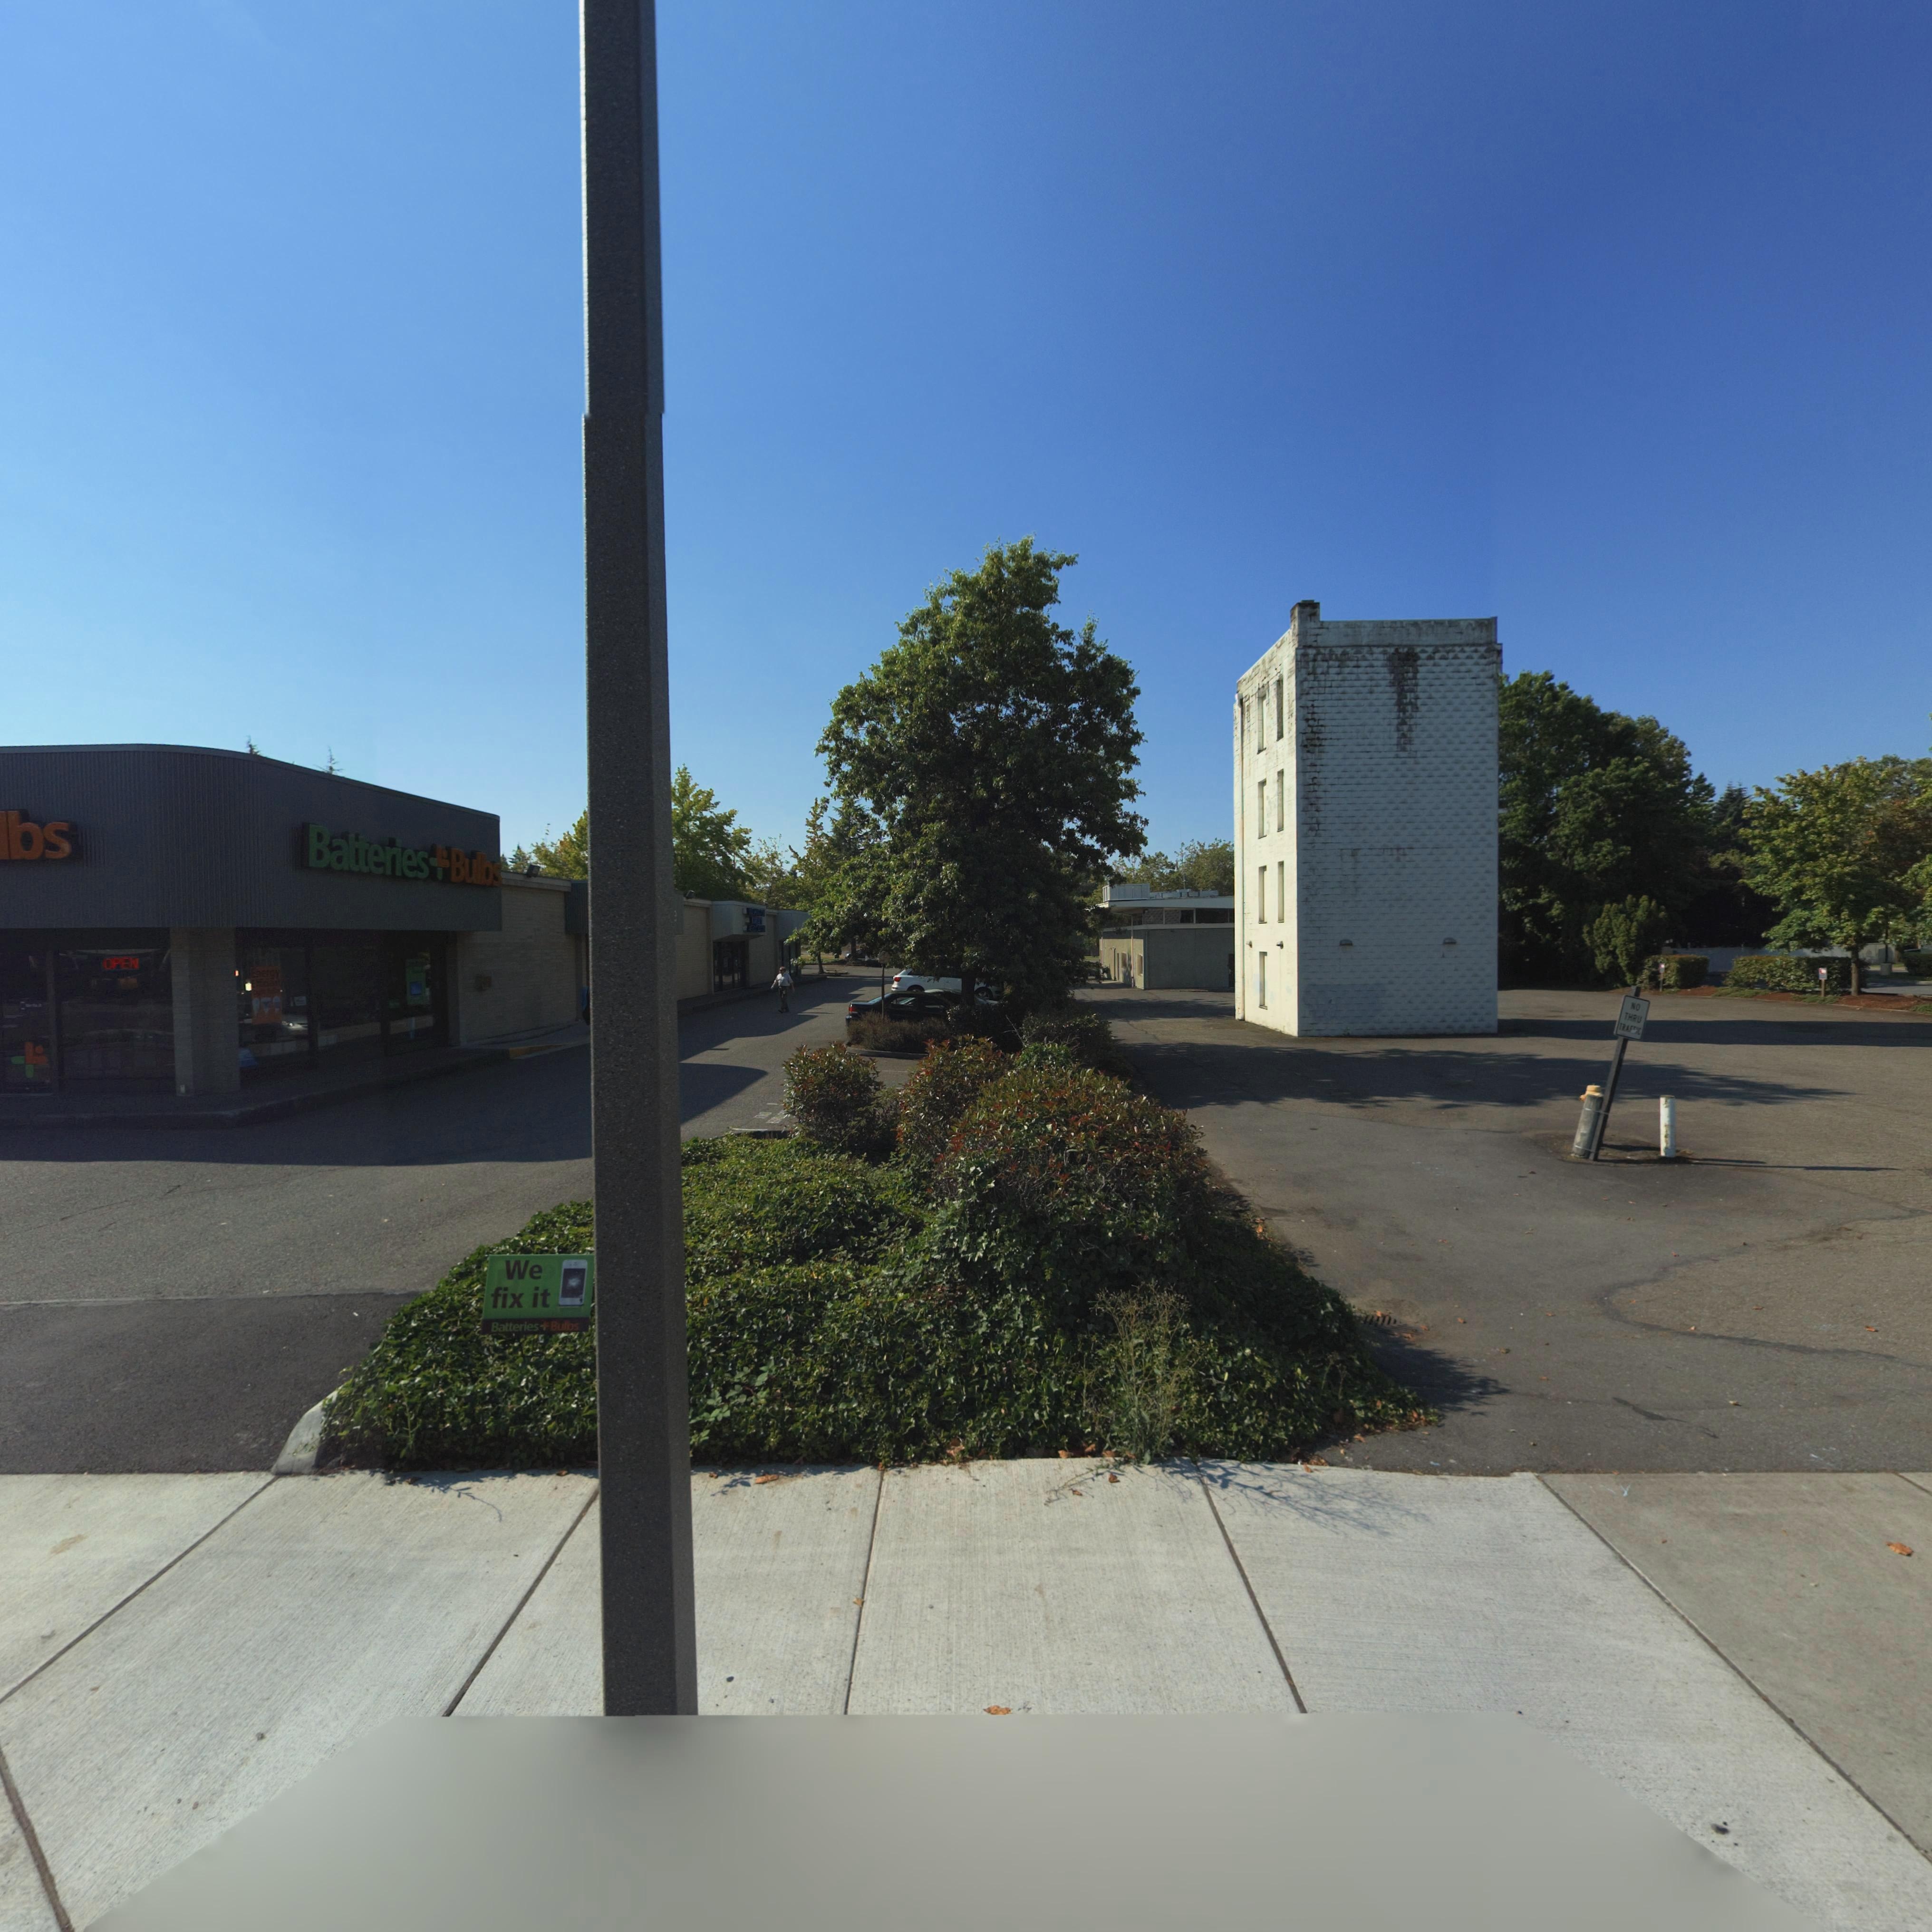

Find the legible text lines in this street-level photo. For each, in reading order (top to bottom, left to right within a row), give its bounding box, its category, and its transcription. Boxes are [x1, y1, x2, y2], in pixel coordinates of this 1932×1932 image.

[5, 808, 73, 862] BusinessName: bs
[307, 822, 503, 888] BusinessName: Batteries*Bulbs
[489, 1319, 580, 1333] BusinessName: Batteries*Bulbs